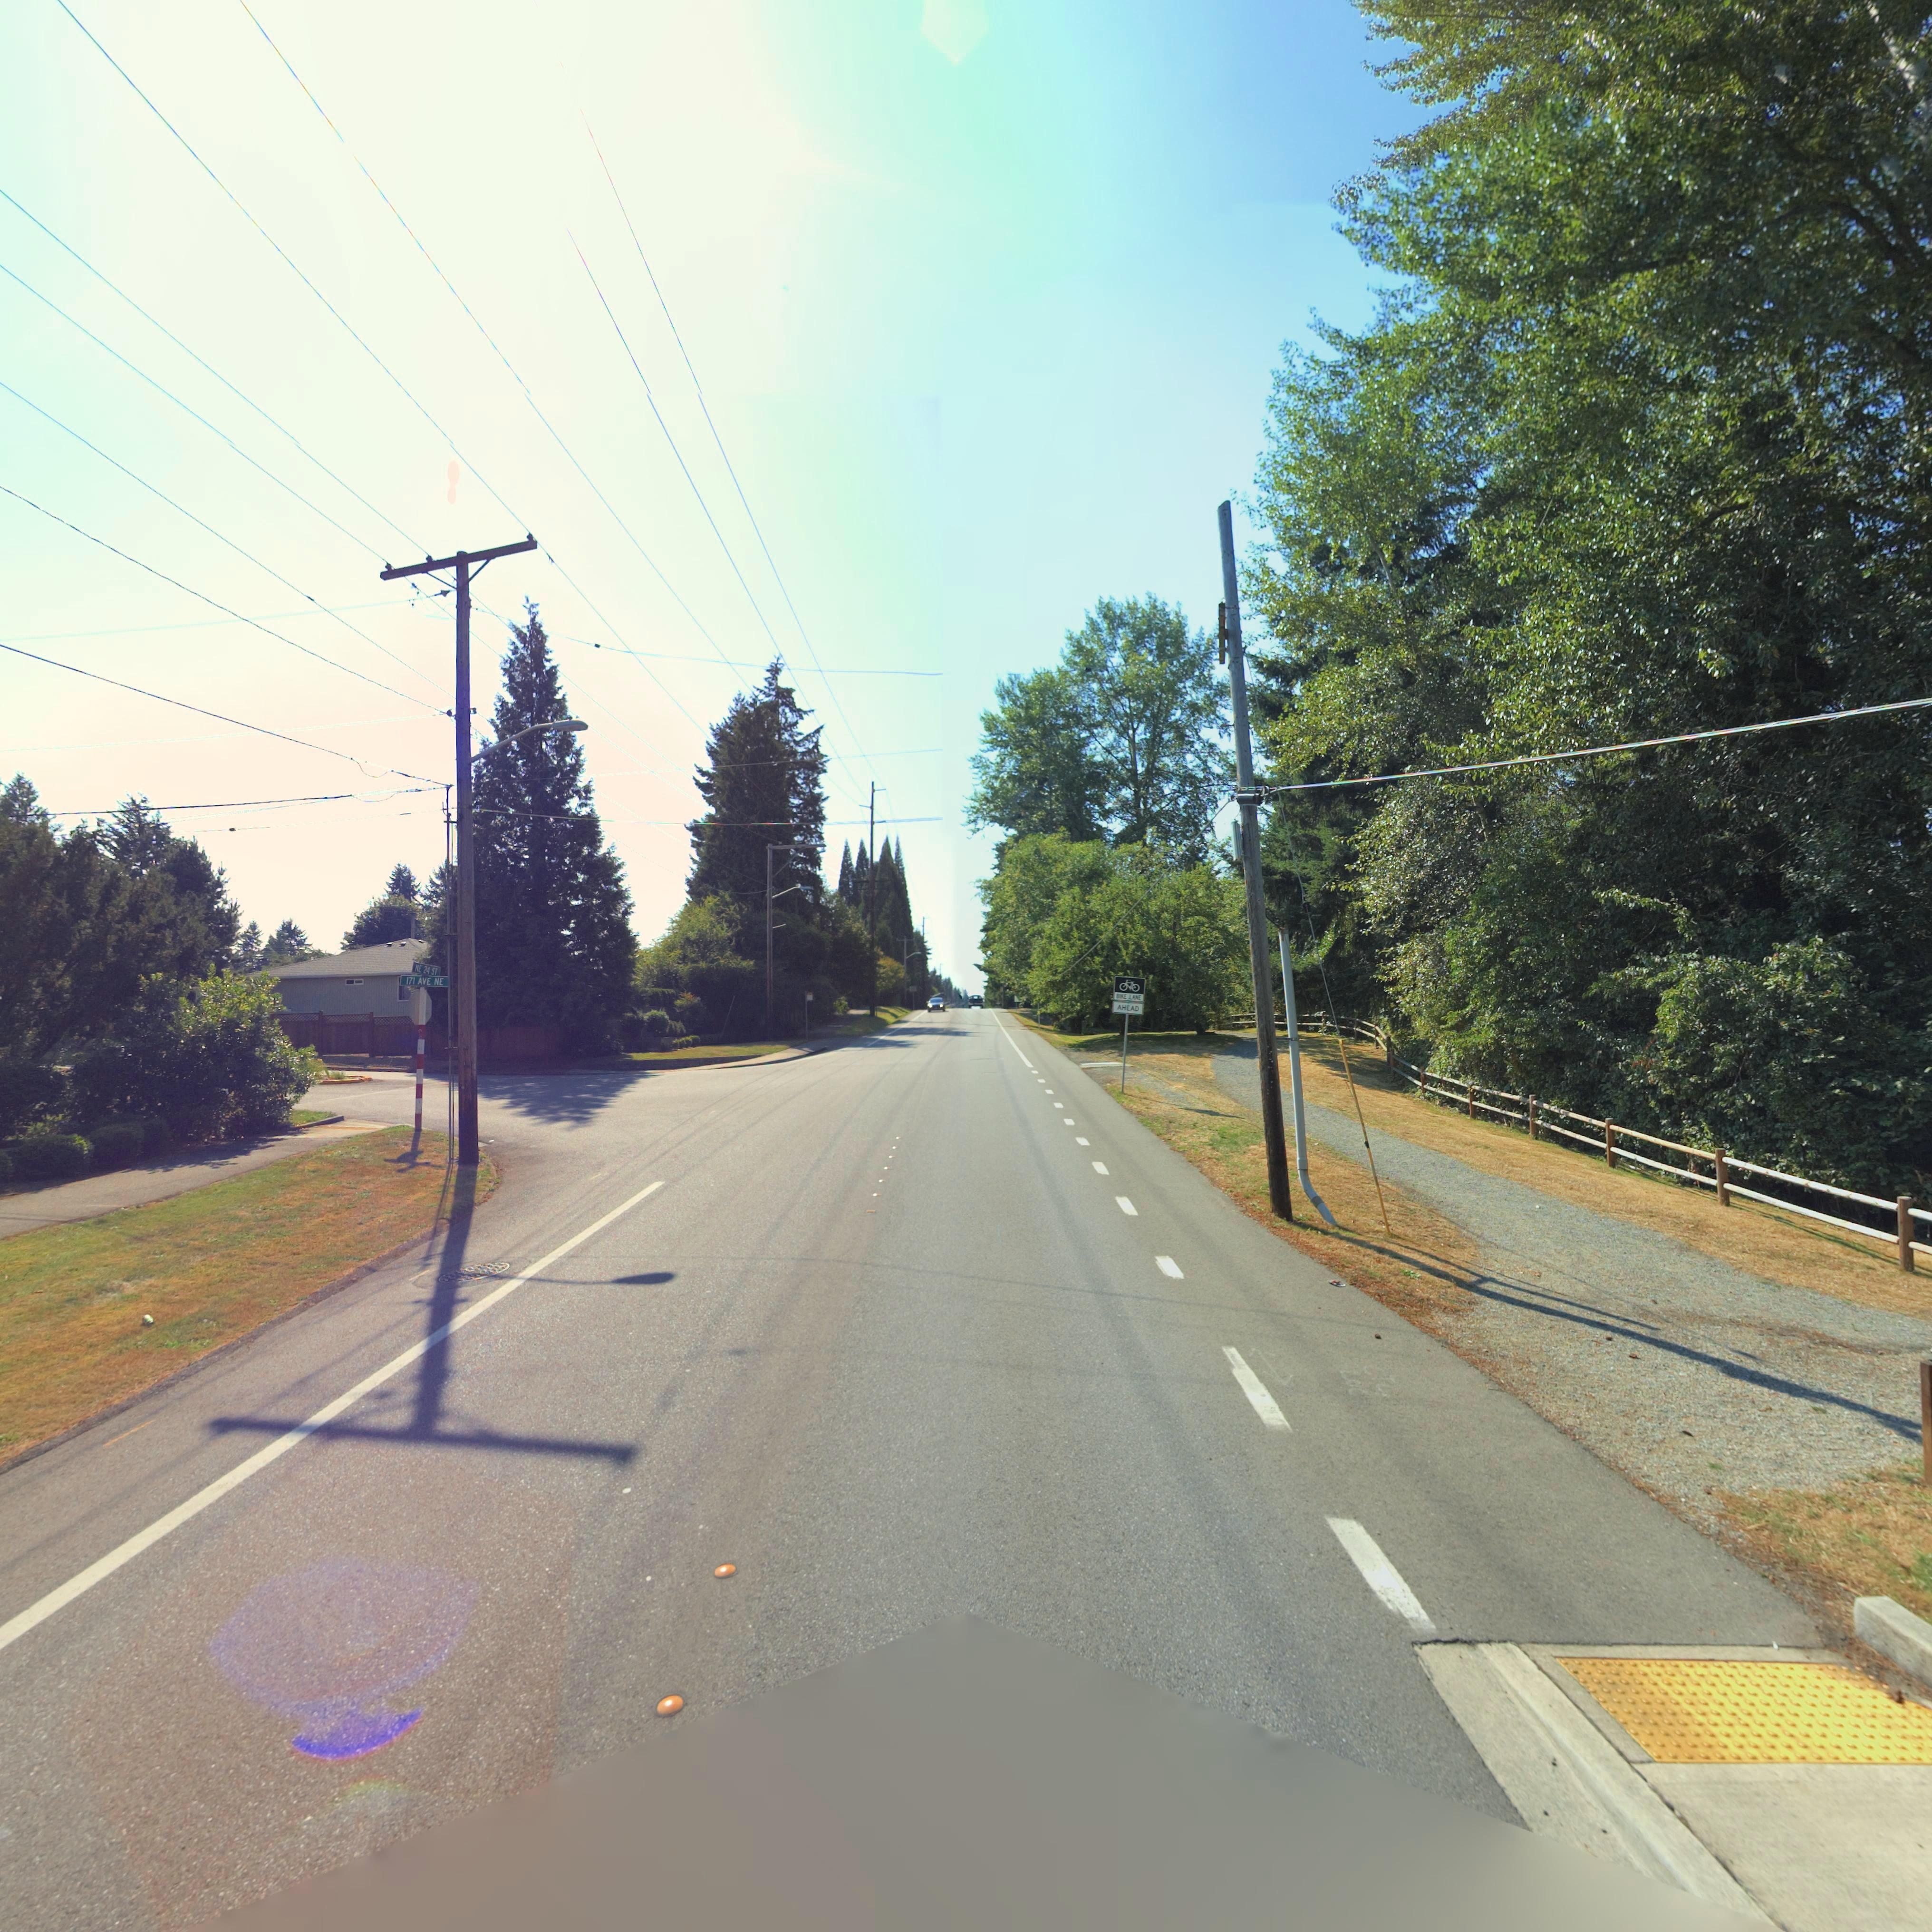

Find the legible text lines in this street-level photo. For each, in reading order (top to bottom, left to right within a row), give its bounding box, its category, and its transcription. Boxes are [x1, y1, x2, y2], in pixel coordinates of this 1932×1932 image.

[414, 962, 439, 975] StreetName: NE 24 ST
[406, 977, 443, 985] StreetName: 171 AVE NE